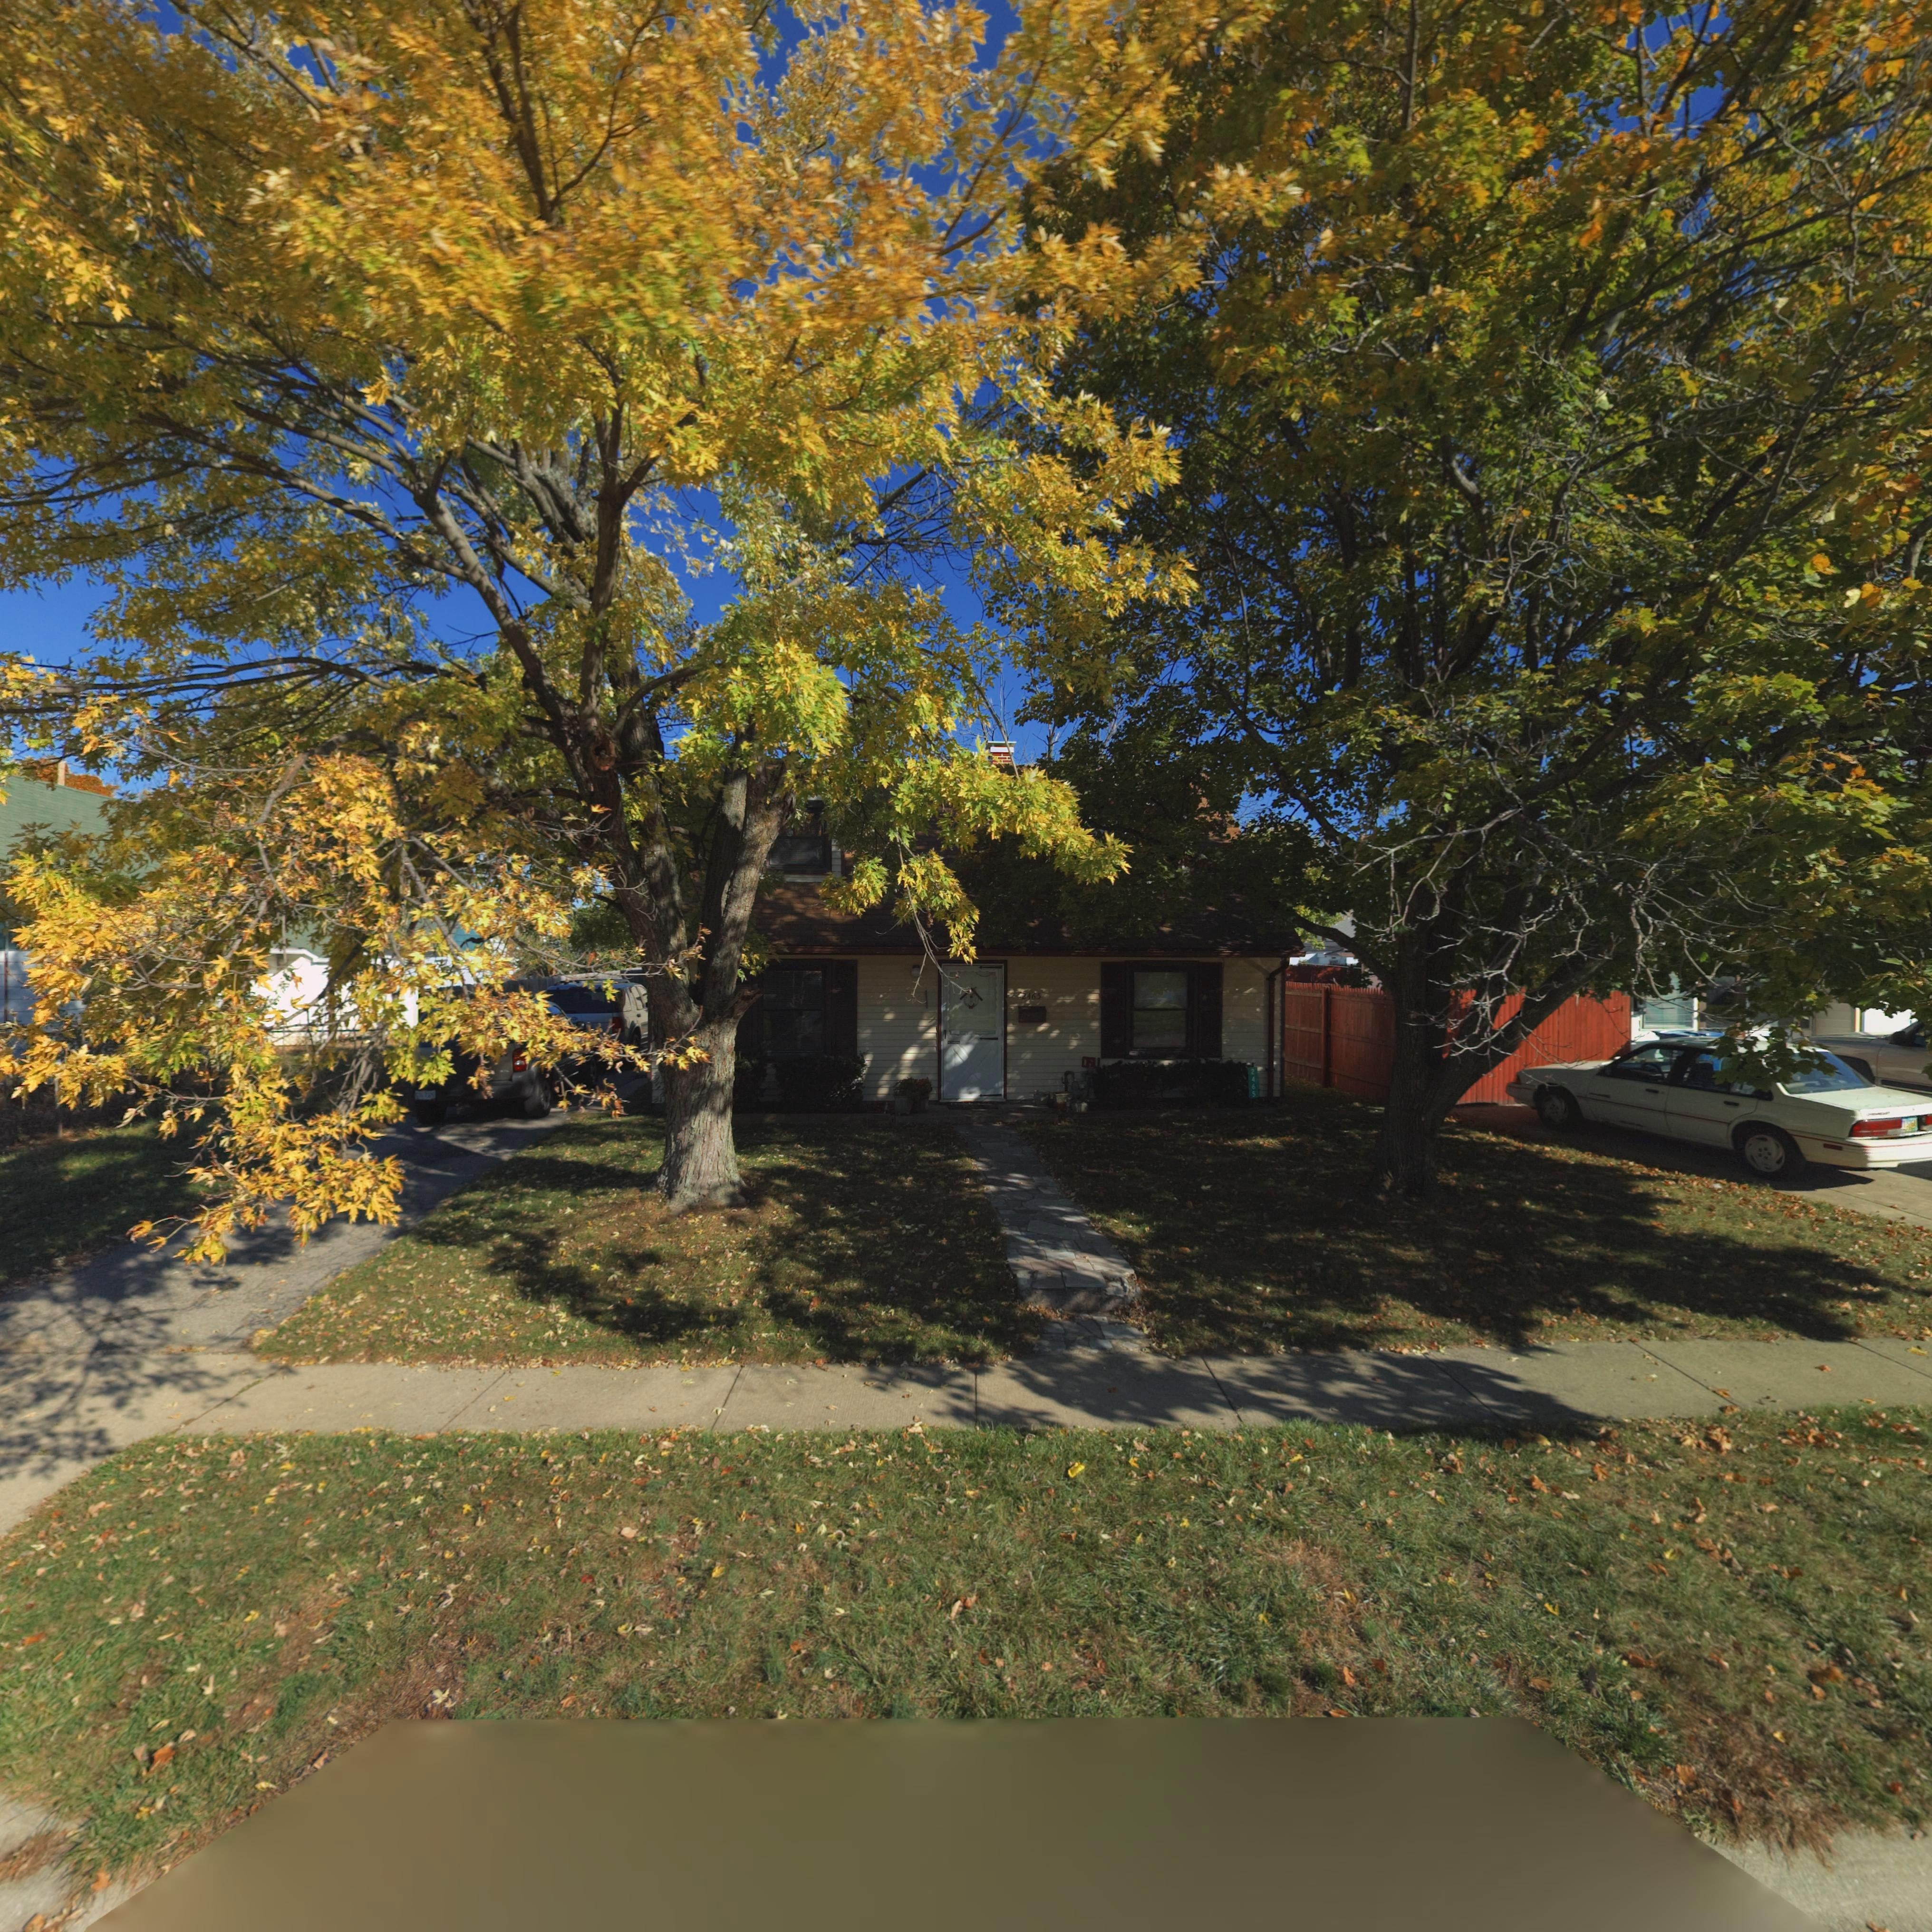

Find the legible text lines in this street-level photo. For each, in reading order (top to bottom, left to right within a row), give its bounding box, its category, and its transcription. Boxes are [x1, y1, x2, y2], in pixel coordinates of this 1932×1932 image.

[1021, 992, 1041, 1000] StreetNumber: 2465
[1250, 1068, 1256, 1098] StreetNumber: 2465